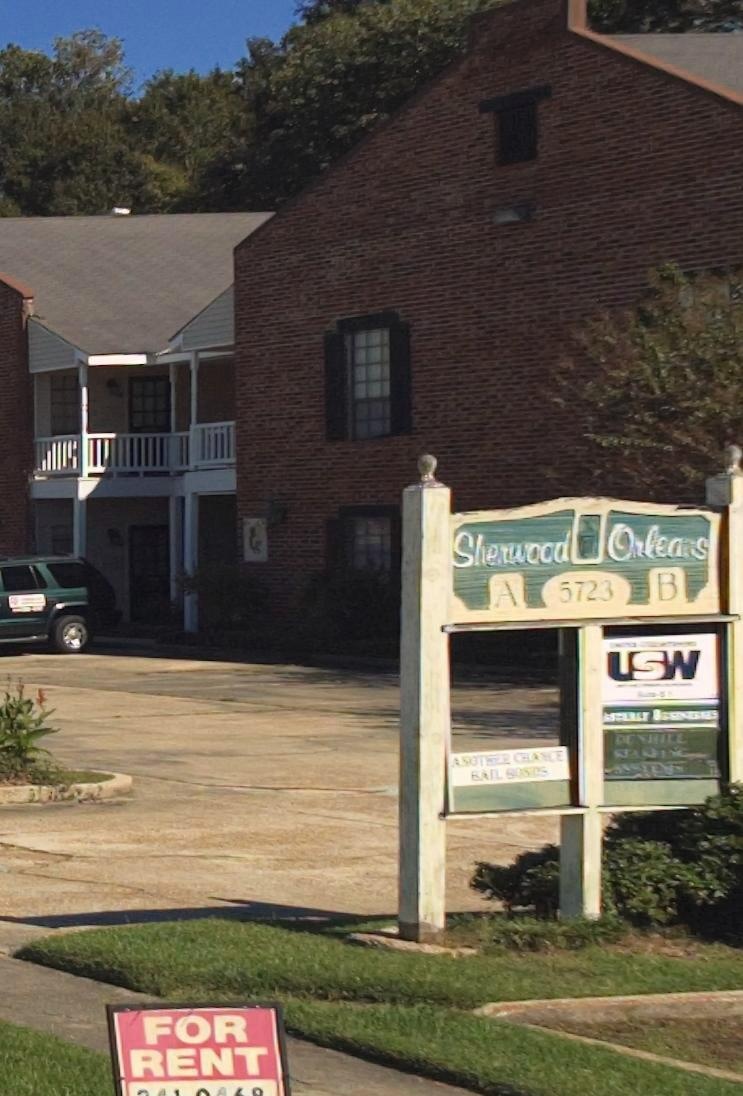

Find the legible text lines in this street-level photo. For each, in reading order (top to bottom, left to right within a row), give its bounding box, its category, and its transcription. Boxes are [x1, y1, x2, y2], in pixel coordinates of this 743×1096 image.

[446, 520, 713, 570] BusinessName: Sherwood * Orleans
[489, 576, 523, 611] StreetNumber: A
[556, 577, 618, 605] StreetNumber: 5723
[655, 569, 680, 604] StreetNumber: B
[602, 646, 707, 685] BusinessName: USW
[139, 1011, 254, 1048] None: FOR
[125, 1044, 271, 1080] None: RENT